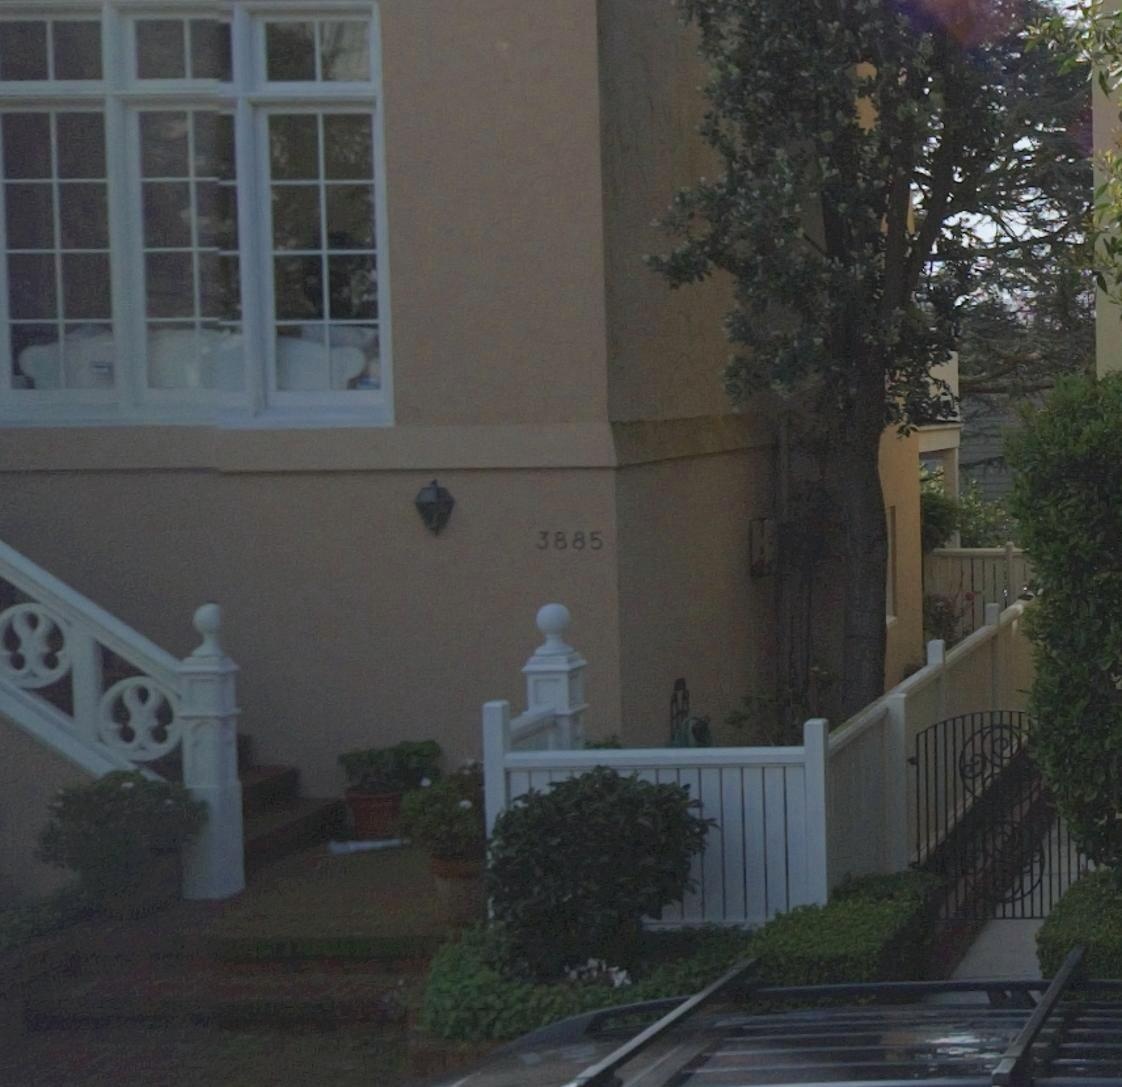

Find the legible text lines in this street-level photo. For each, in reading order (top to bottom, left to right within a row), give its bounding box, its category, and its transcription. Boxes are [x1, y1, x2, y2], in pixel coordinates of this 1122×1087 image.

[533, 529, 605, 552] StreetNumber: 3885